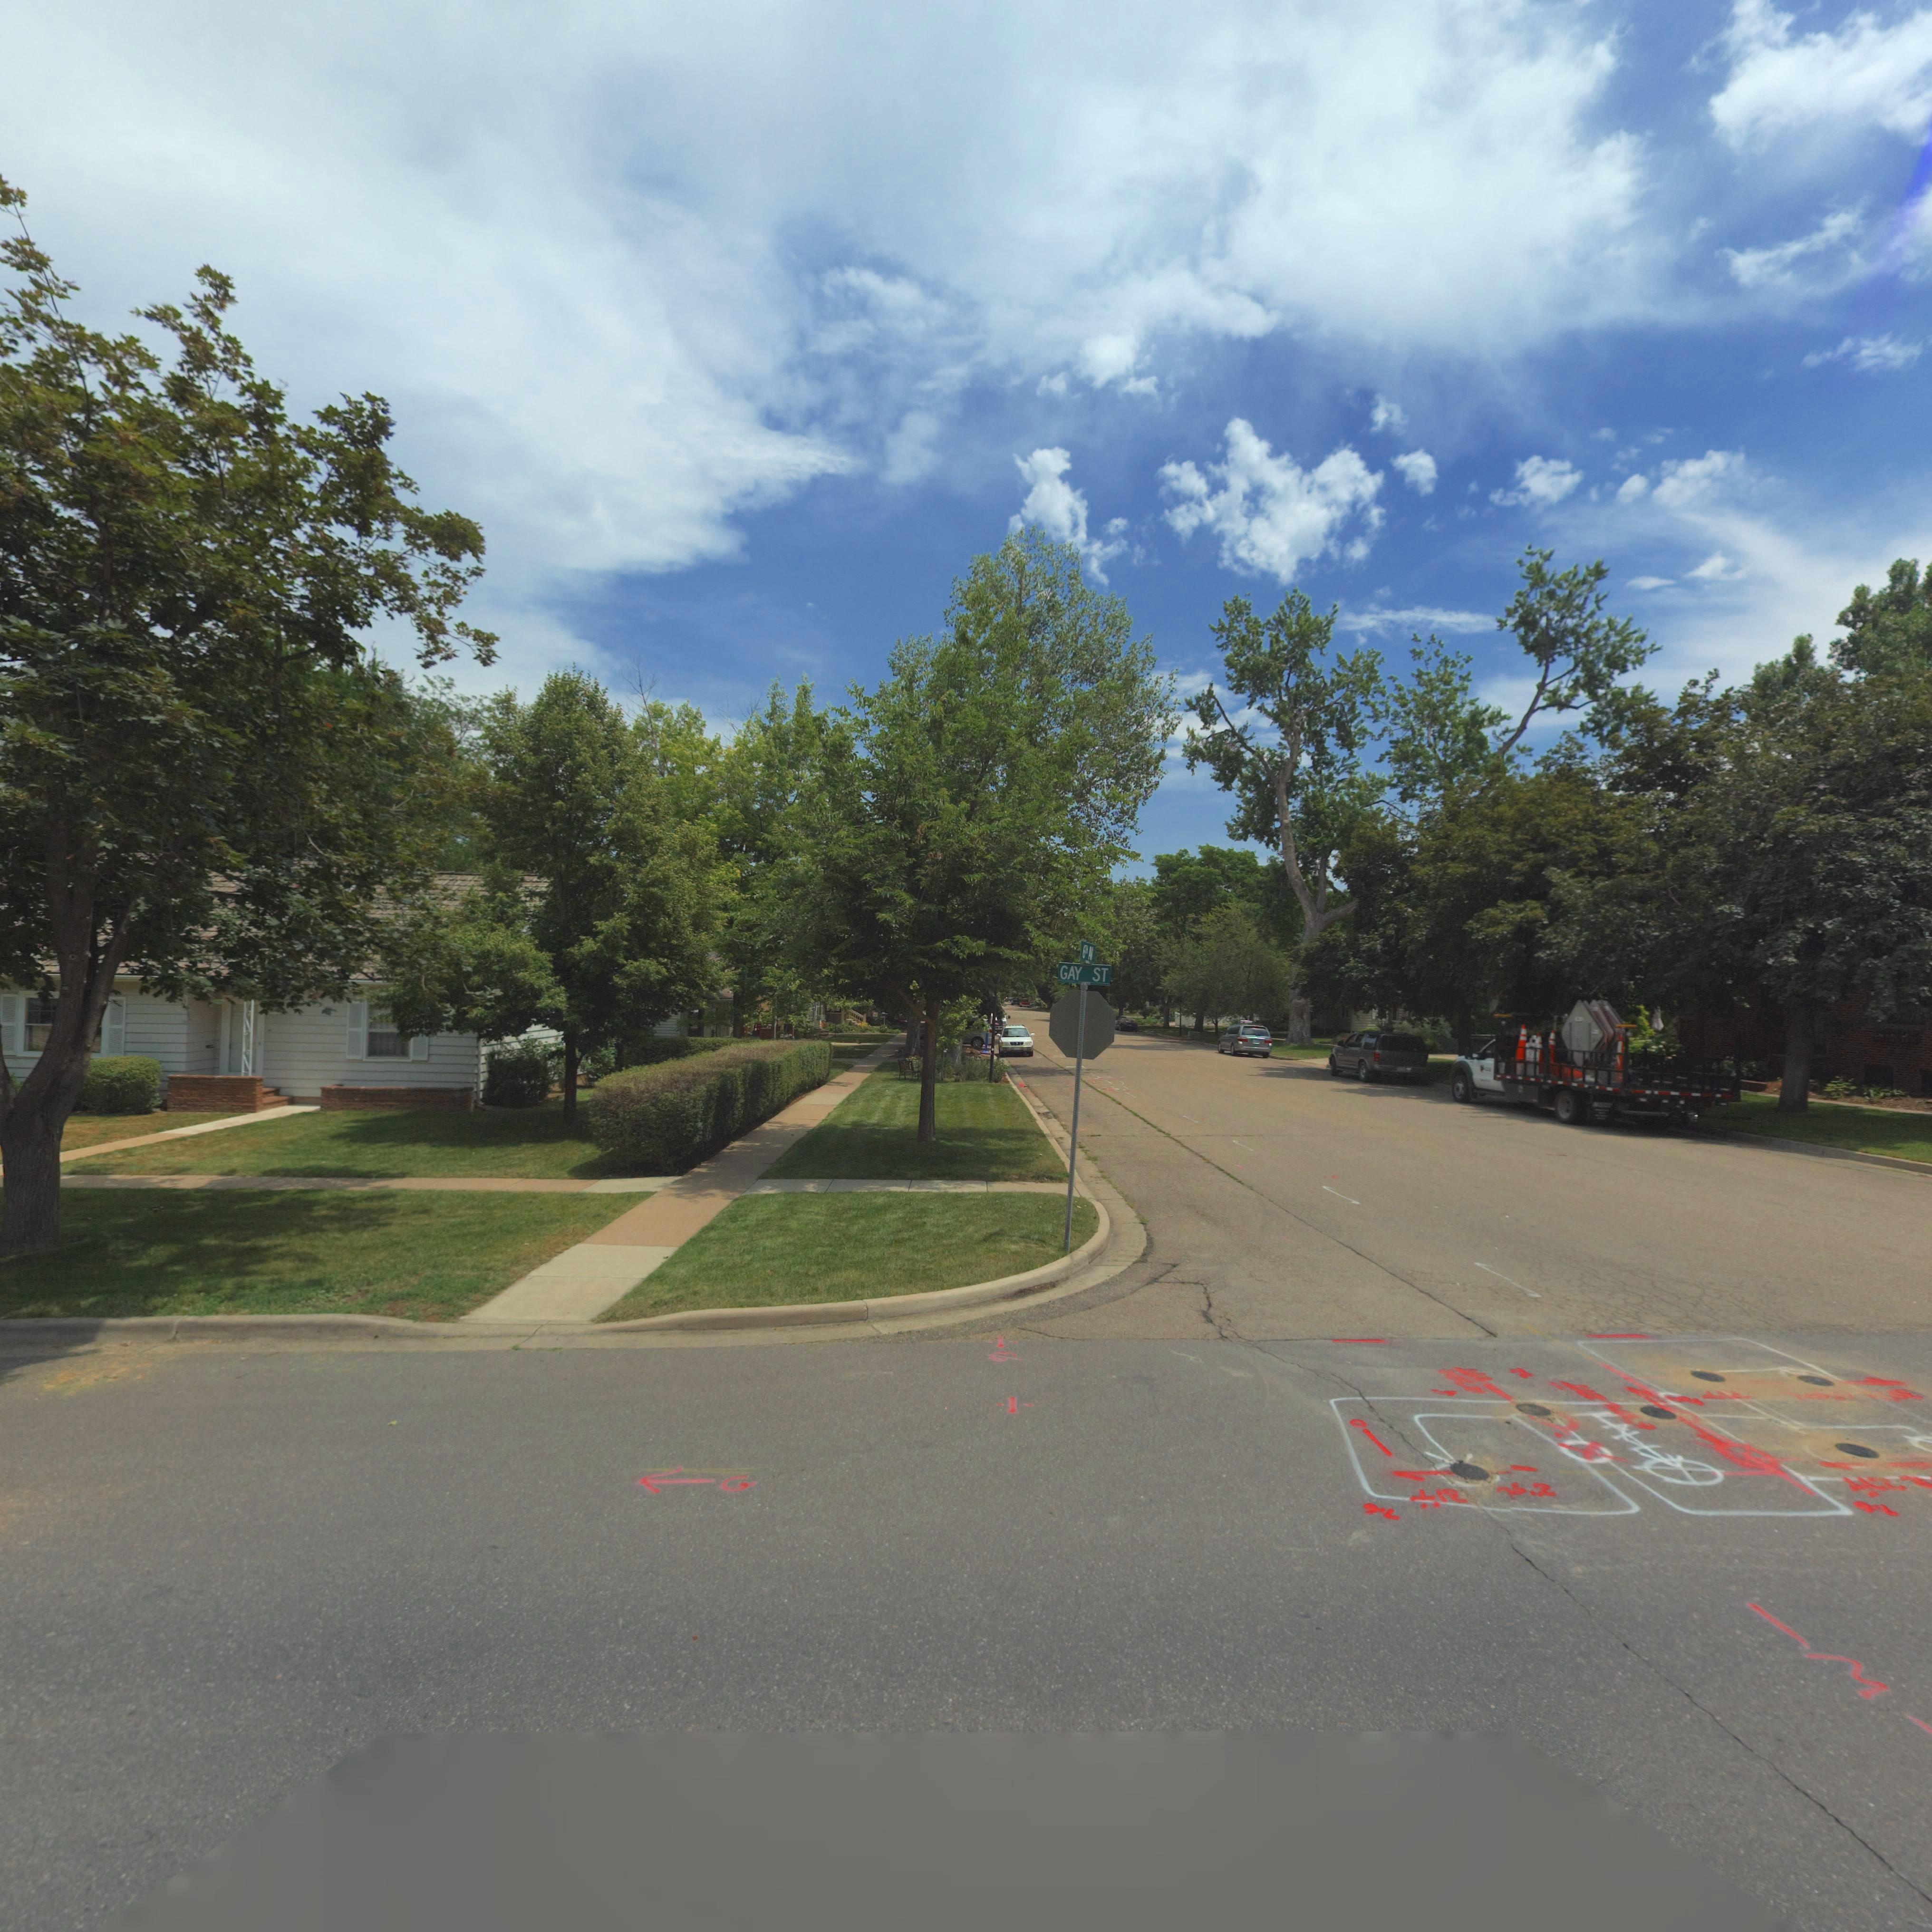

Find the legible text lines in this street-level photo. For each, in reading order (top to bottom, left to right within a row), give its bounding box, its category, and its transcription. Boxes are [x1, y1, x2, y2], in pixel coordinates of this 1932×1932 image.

[1082, 944, 1094, 961] StreetName: 6** AV
[1060, 966, 1109, 982] StreetName: GAY ST